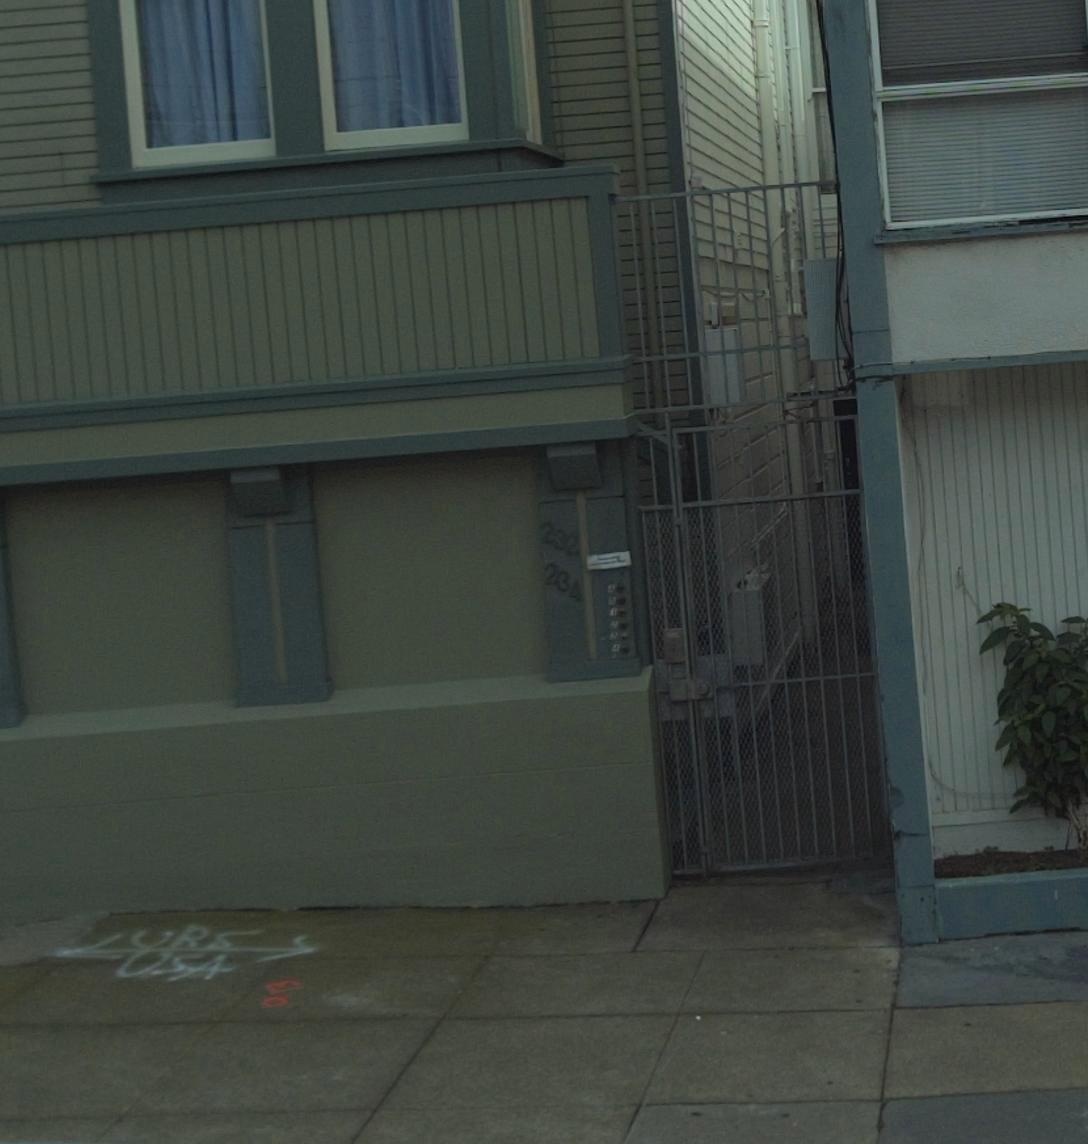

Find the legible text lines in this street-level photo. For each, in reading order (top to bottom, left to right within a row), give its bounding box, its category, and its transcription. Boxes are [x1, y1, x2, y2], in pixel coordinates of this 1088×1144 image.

[538, 519, 581, 558] StreetNumber: 232
[541, 558, 585, 605] StreetNumber: 234